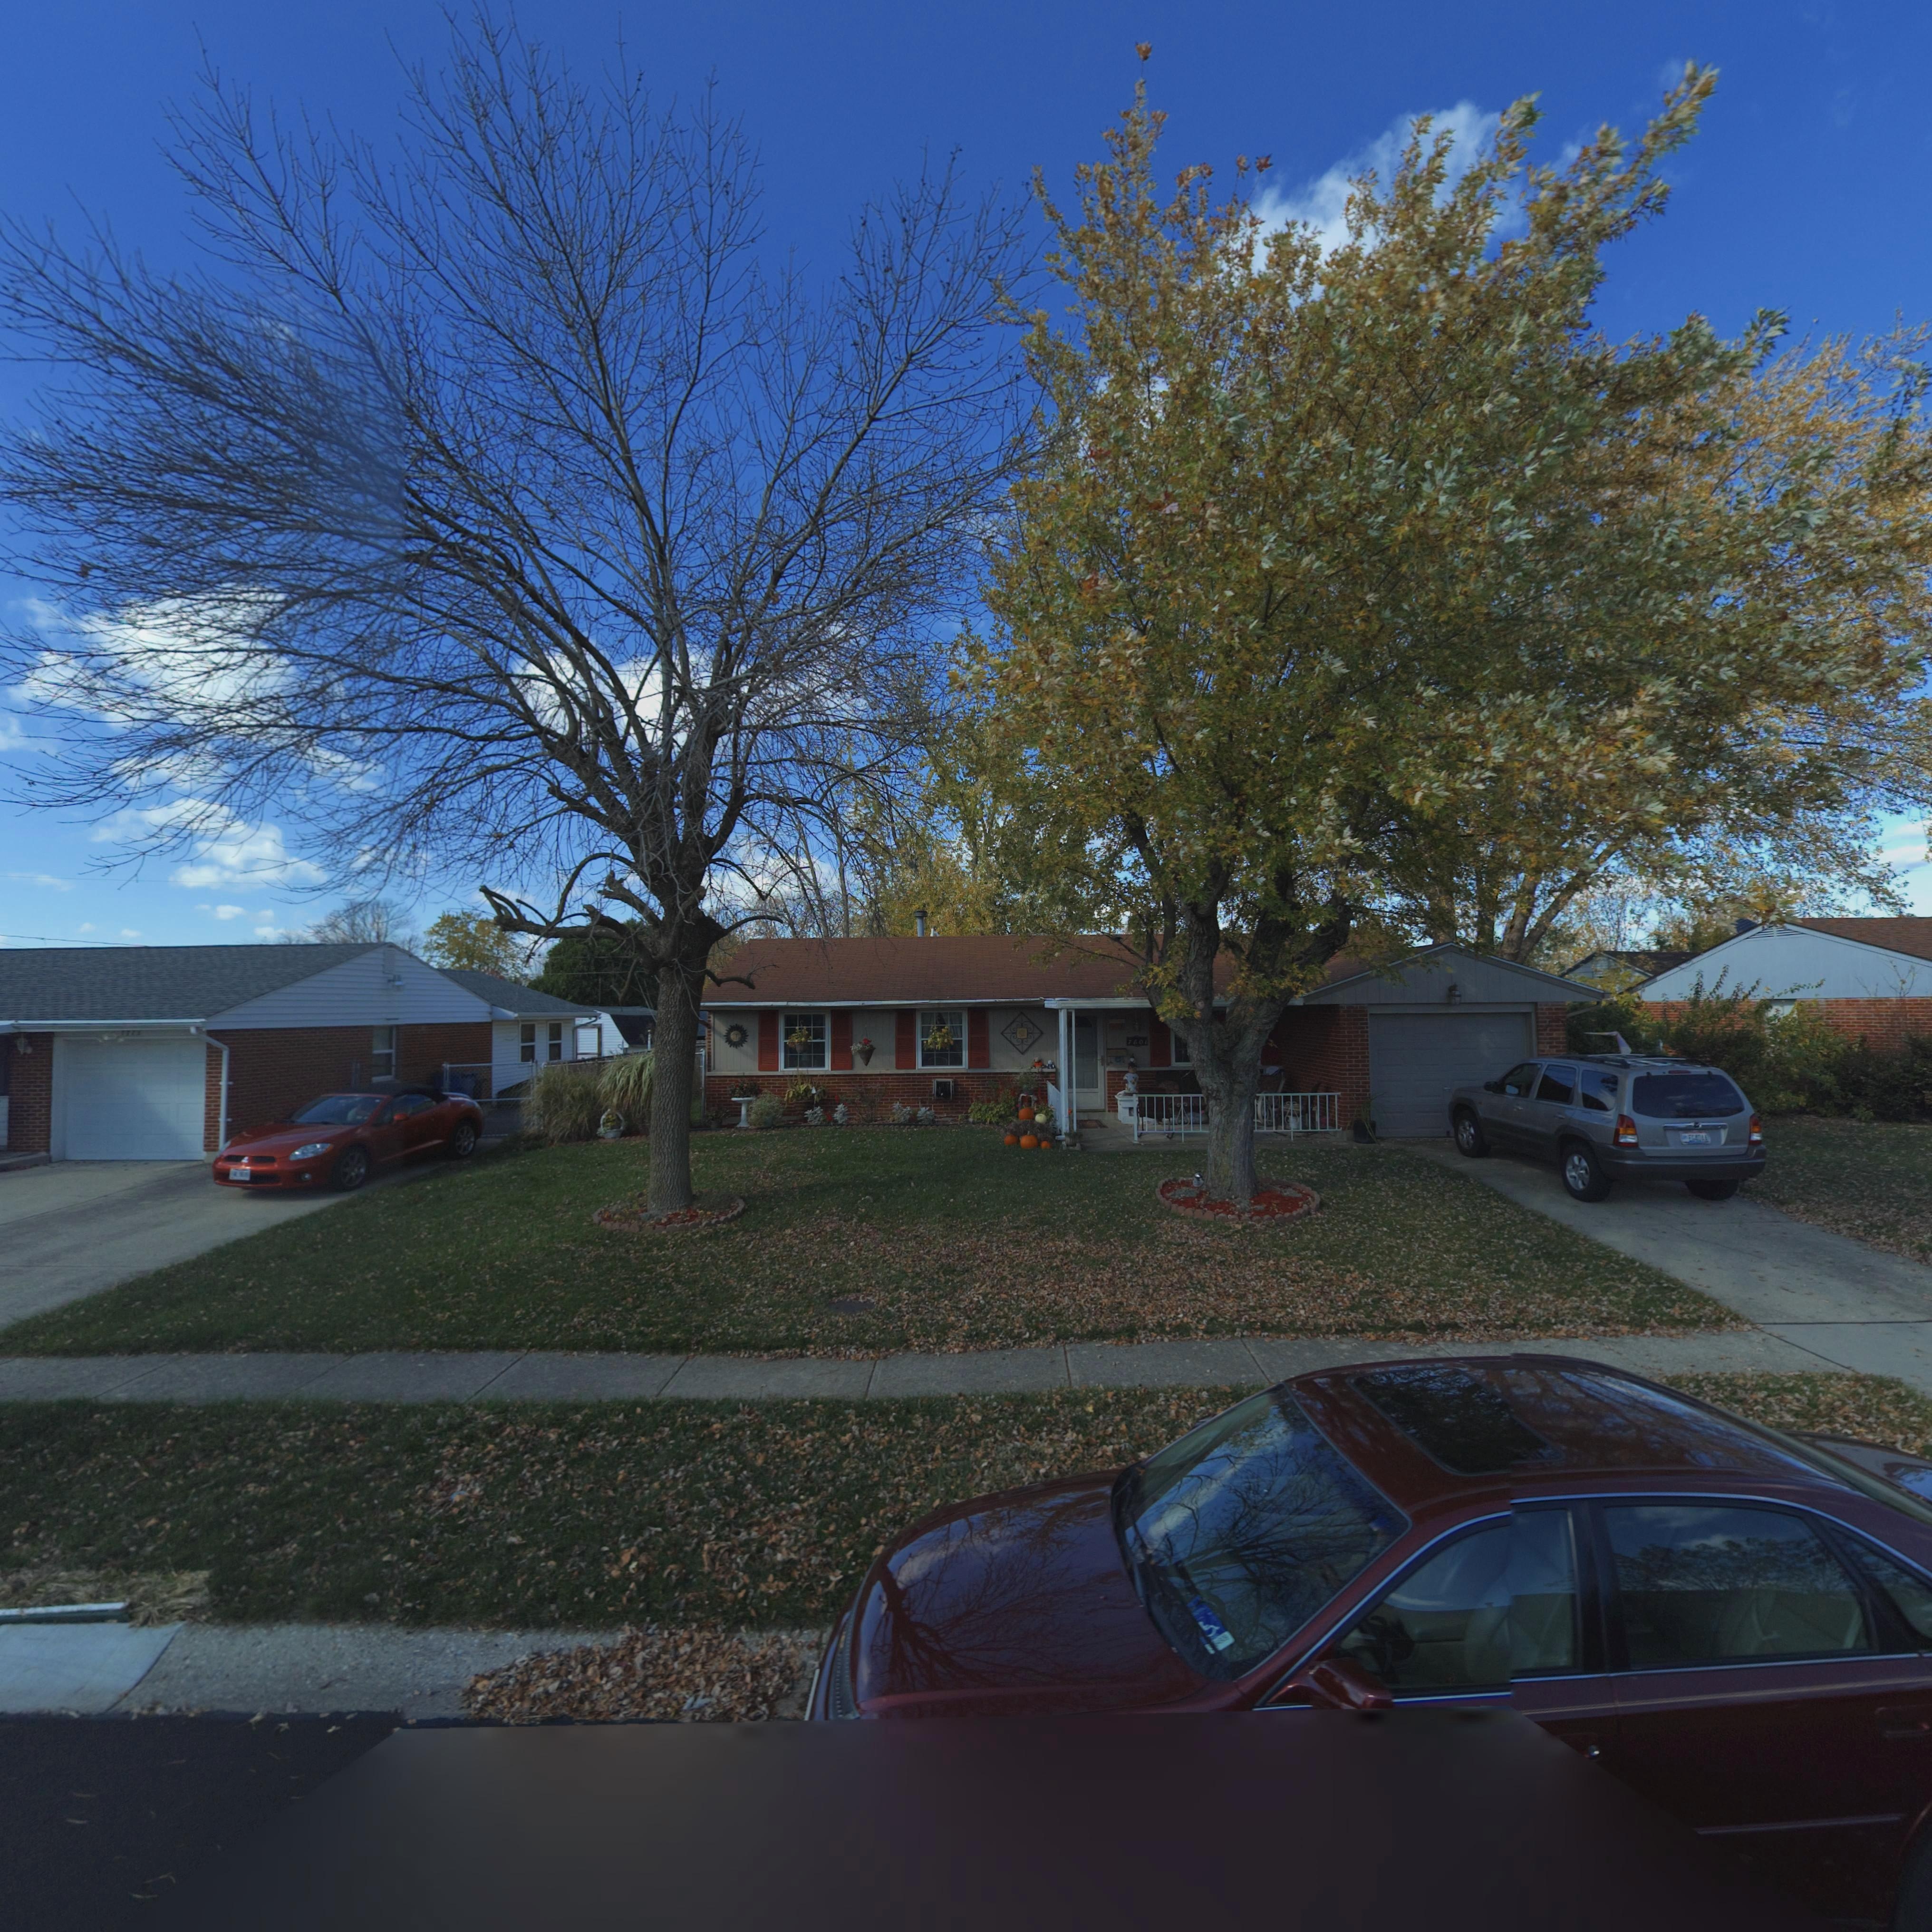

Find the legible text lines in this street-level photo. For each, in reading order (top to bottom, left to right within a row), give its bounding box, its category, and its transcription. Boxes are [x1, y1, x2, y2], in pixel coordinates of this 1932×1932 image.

[119, 1030, 142, 1037] StreetNumber: 7703
[1127, 1039, 1148, 1045] StreetNumber: 7801